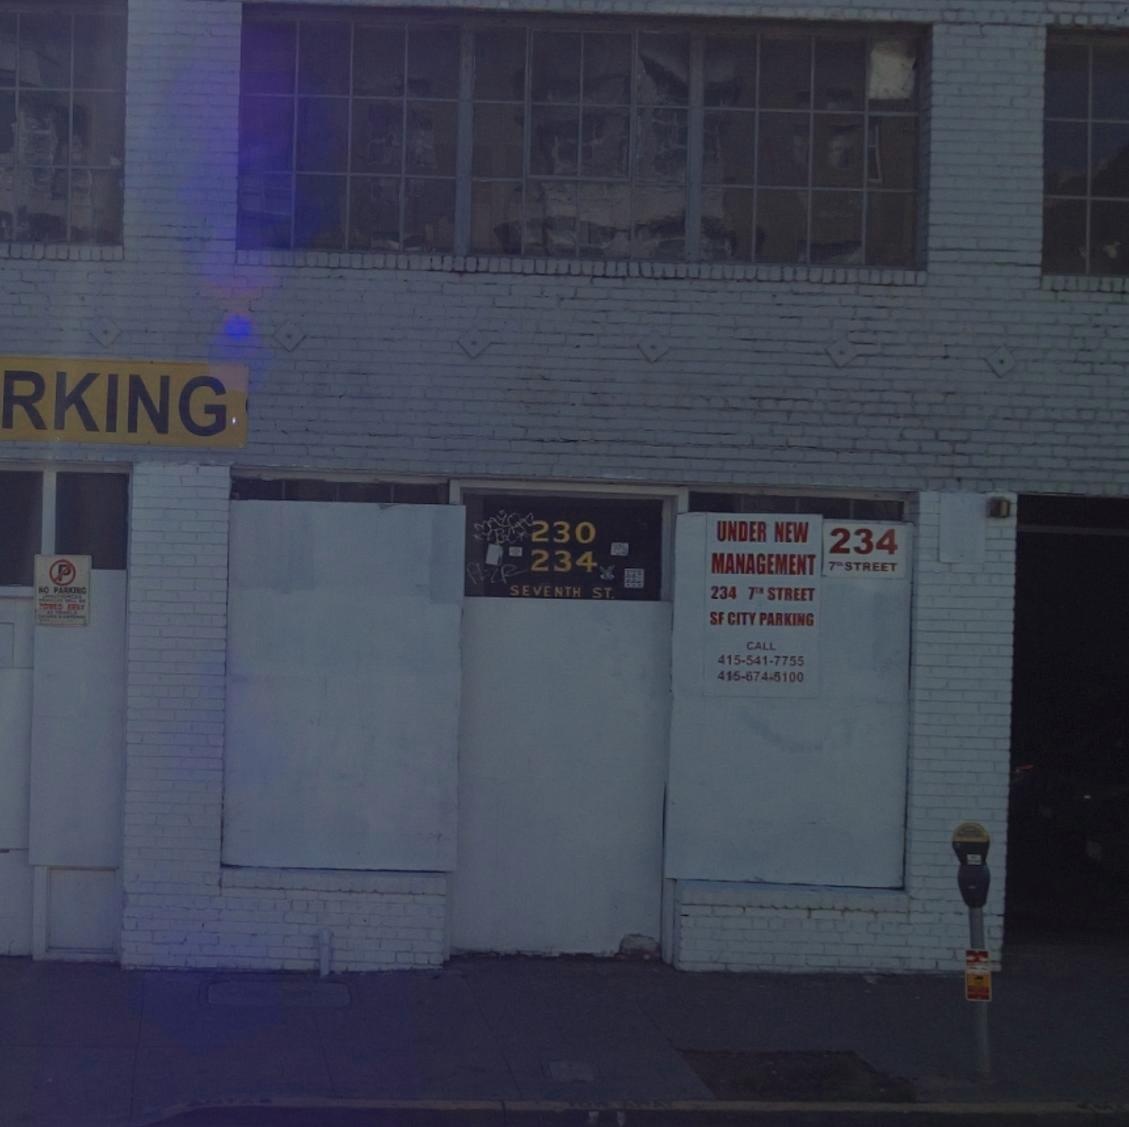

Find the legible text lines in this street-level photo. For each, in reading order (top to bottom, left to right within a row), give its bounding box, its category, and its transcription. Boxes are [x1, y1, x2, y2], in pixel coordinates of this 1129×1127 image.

[2, 366, 231, 440] None: RKING
[530, 519, 598, 545] StreetNumber: 230
[715, 518, 812, 544] None: UNDER NEW
[827, 526, 900, 556] StreetNumber: 234
[530, 546, 599, 574] StreetNumber: 234
[710, 551, 818, 576] None: MANAGEMENT
[826, 560, 901, 574] StreetName: 7TH STREET
[37, 585, 88, 596] None: NO PARKING
[508, 582, 615, 600] StreetName: SEVENTH ST
[709, 583, 738, 600] StreetNumber: 234
[746, 584, 817, 603] StreetName: 7TH STREET
[38, 602, 88, 611] None: TOWED AWAY
[708, 609, 816, 627] None: SF CITY PARKING
[744, 639, 779, 652] None: CALL
[716, 652, 807, 667] None: 415-541-7755
[715, 668, 806, 684] None: 415-674-5100